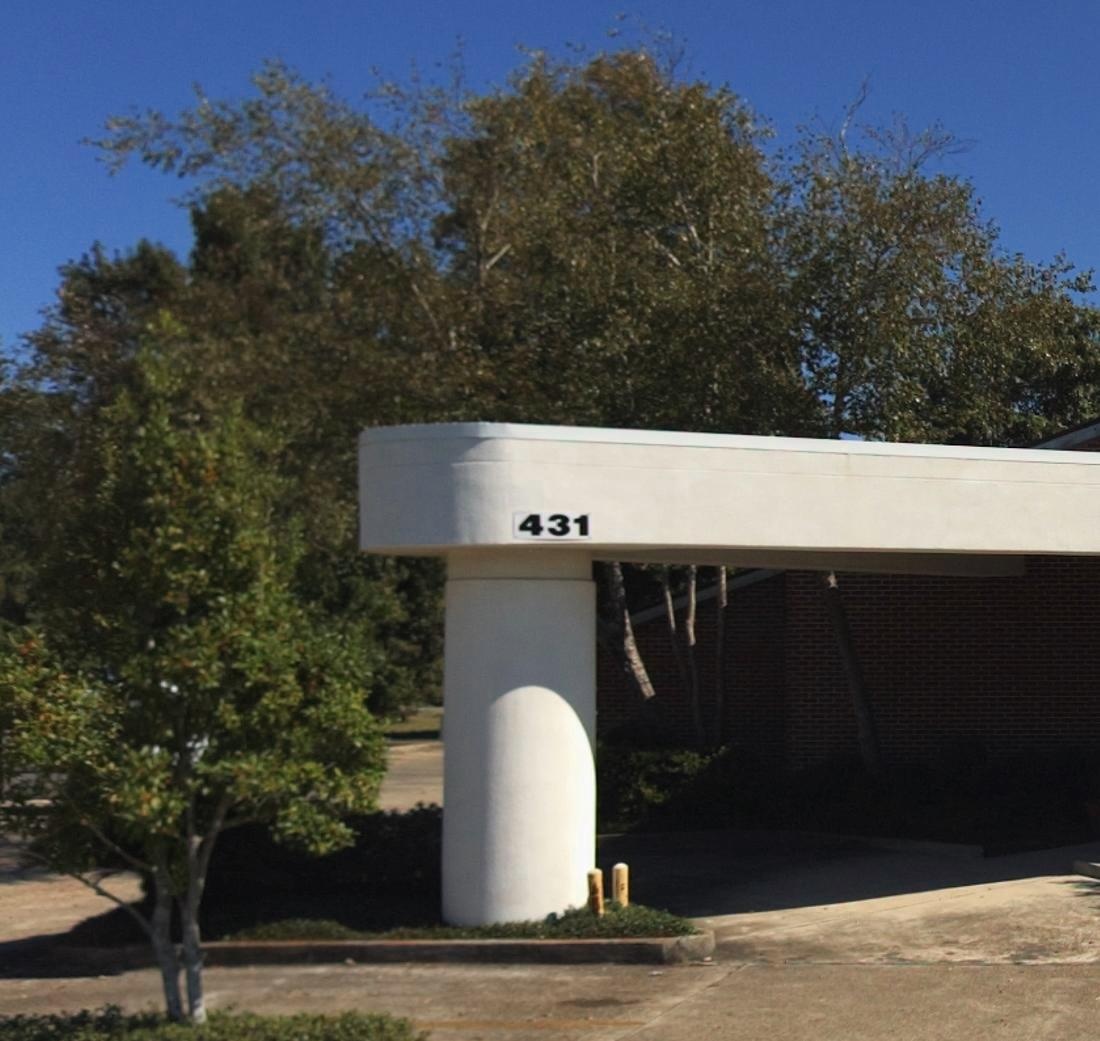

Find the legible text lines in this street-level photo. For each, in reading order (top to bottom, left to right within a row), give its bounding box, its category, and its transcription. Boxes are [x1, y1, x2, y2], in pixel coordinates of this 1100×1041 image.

[510, 510, 593, 541] StreetNumber: 431